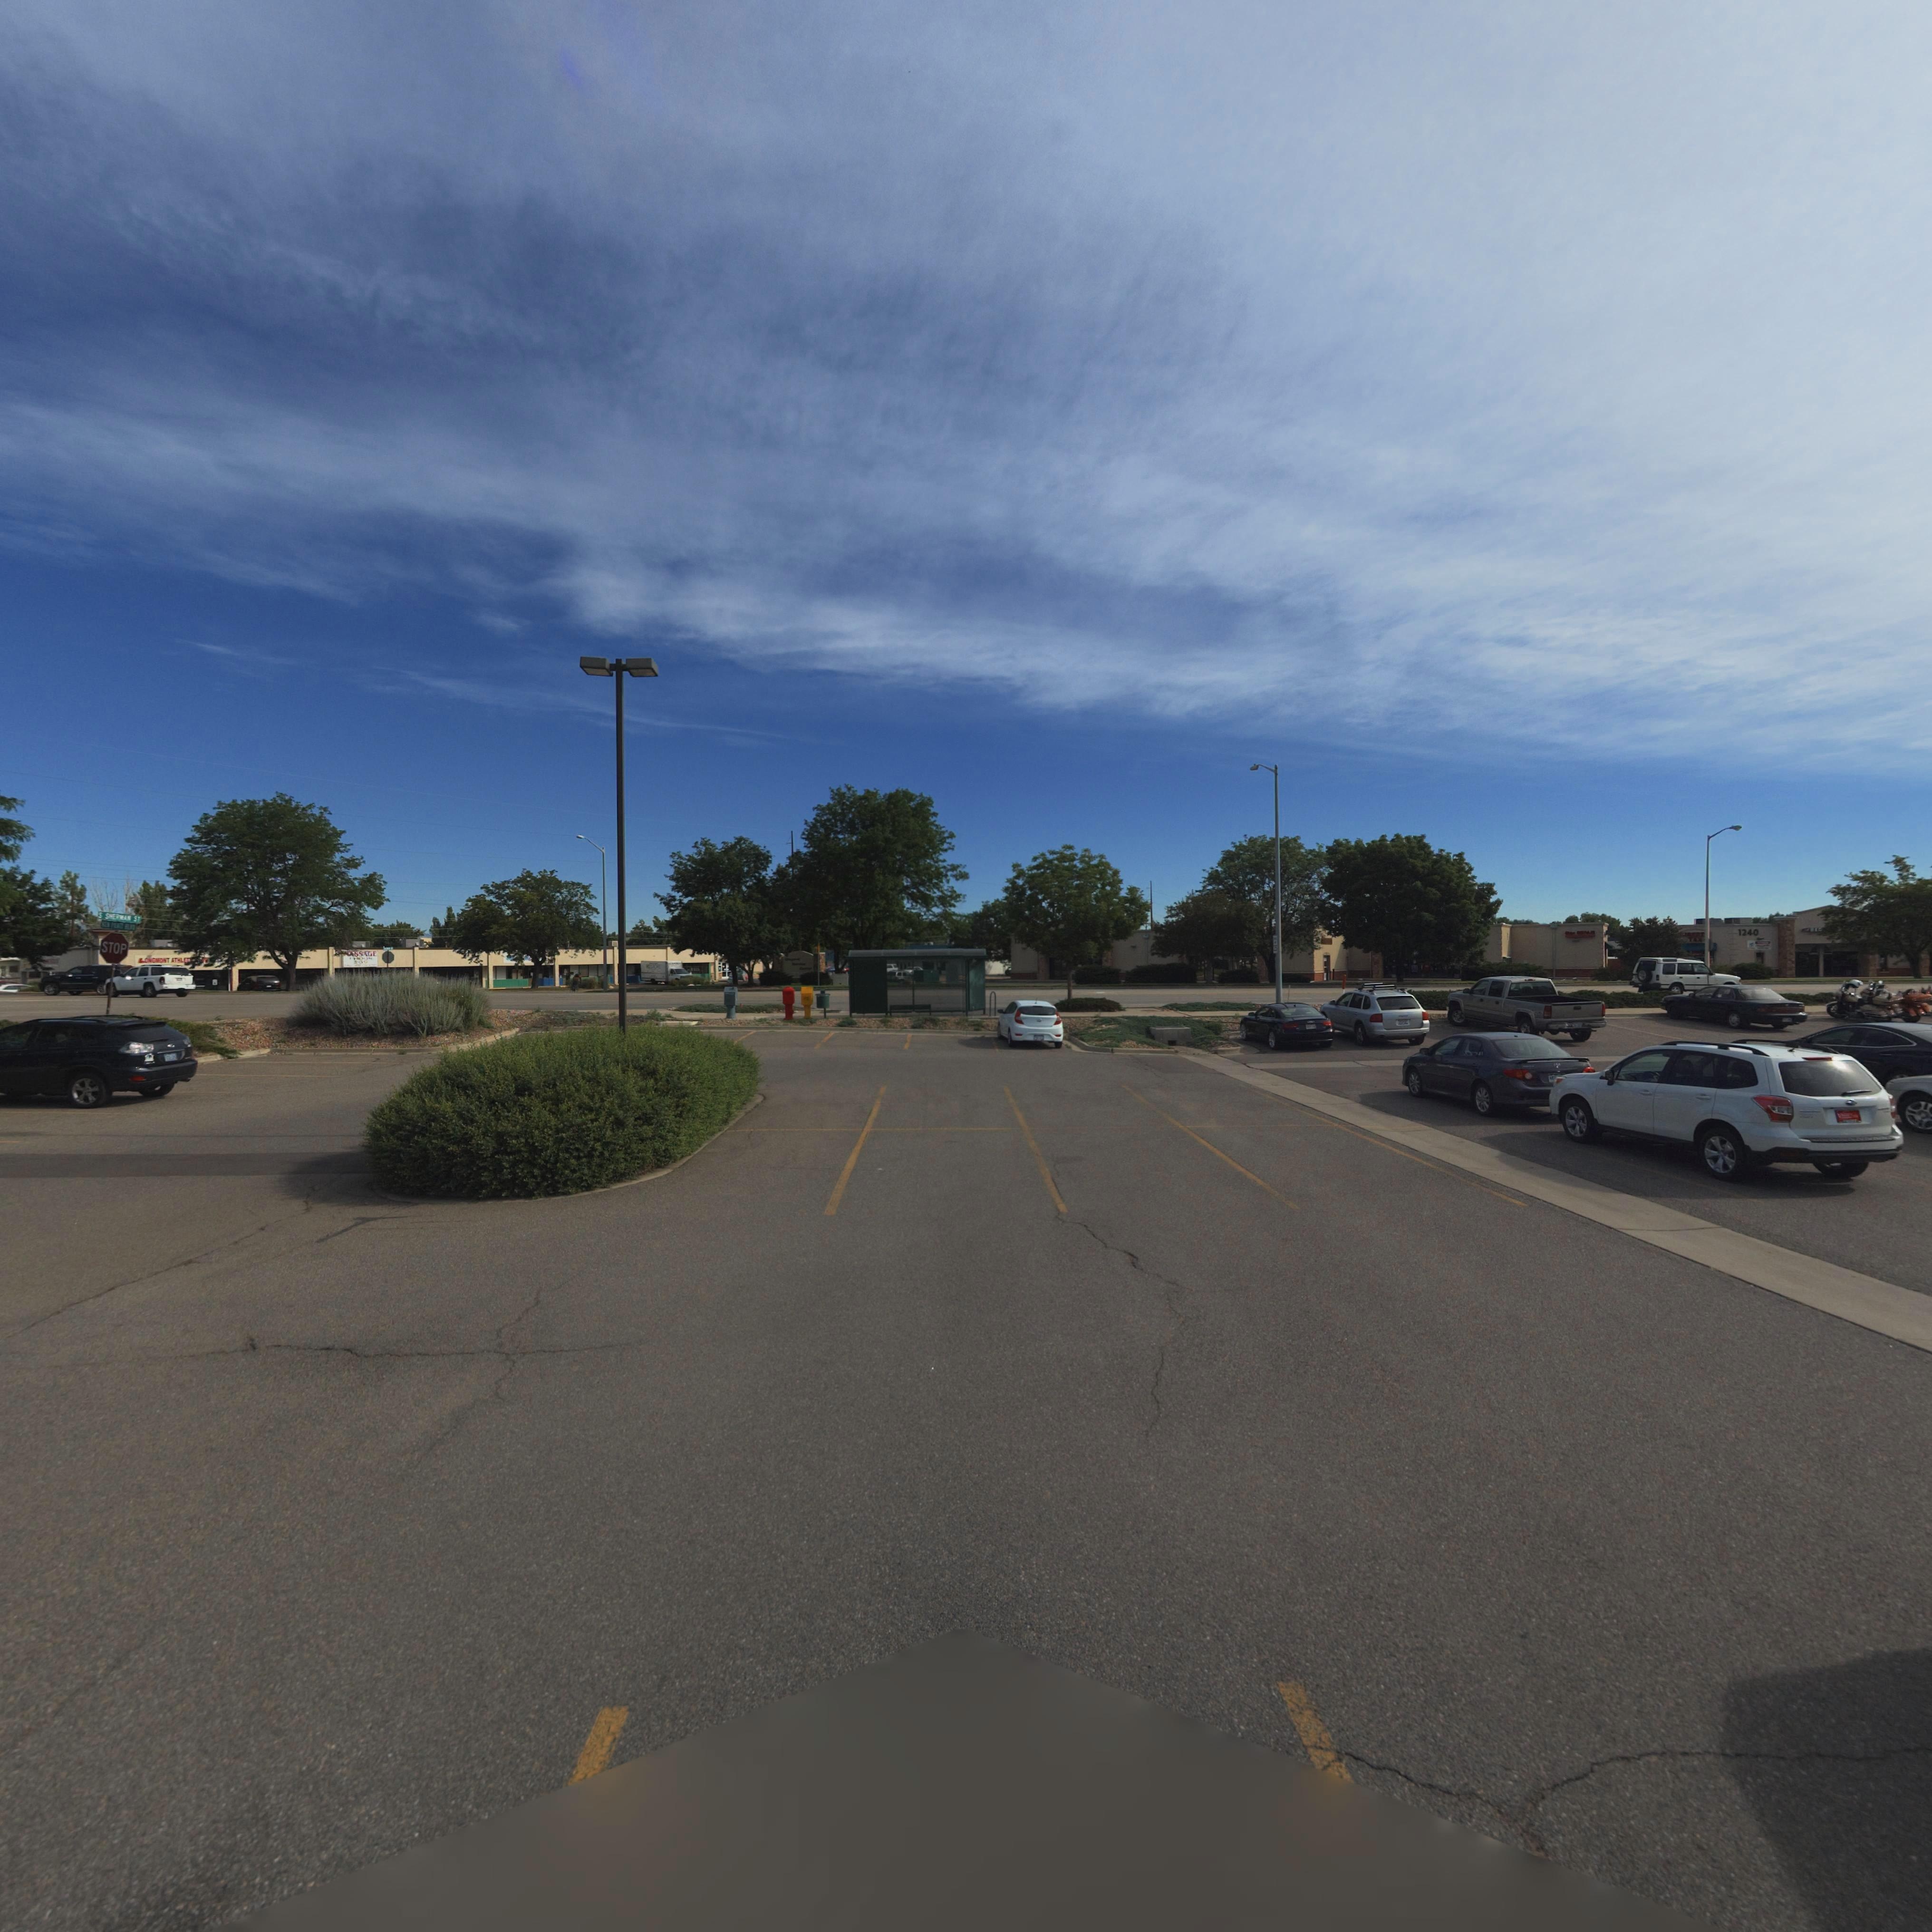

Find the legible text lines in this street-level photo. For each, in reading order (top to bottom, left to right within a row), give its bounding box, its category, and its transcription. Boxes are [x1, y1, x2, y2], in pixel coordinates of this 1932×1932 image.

[98, 912, 140, 922] StreetName: S SHERMAN ST
[101, 920, 135, 930] StreetName: KEN PRATT BLVD
[1682, 932, 1704, 937] BusinessName: *IB**T
[1737, 928, 1759, 936] StreetNumber: 1240
[1688, 937, 1702, 941] BusinessName: TAX
[347, 951, 377, 956] BusinessName: *ASSAGE
[137, 957, 208, 963] BusinessName: LONGMONT ATHLET******